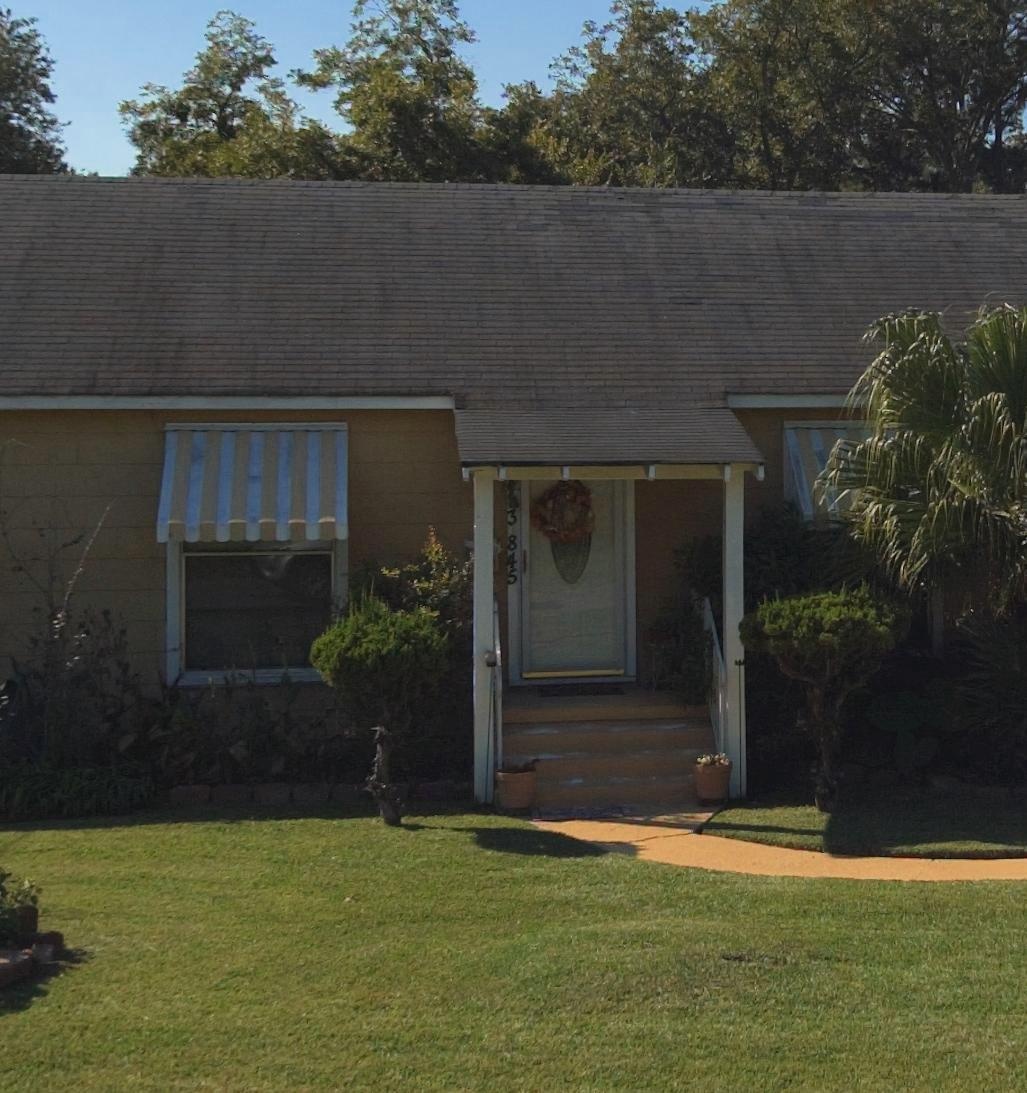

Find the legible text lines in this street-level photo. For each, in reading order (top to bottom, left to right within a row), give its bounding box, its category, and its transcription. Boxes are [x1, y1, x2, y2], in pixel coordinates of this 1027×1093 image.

[505, 507, 519, 587] StreetNumber: 3845